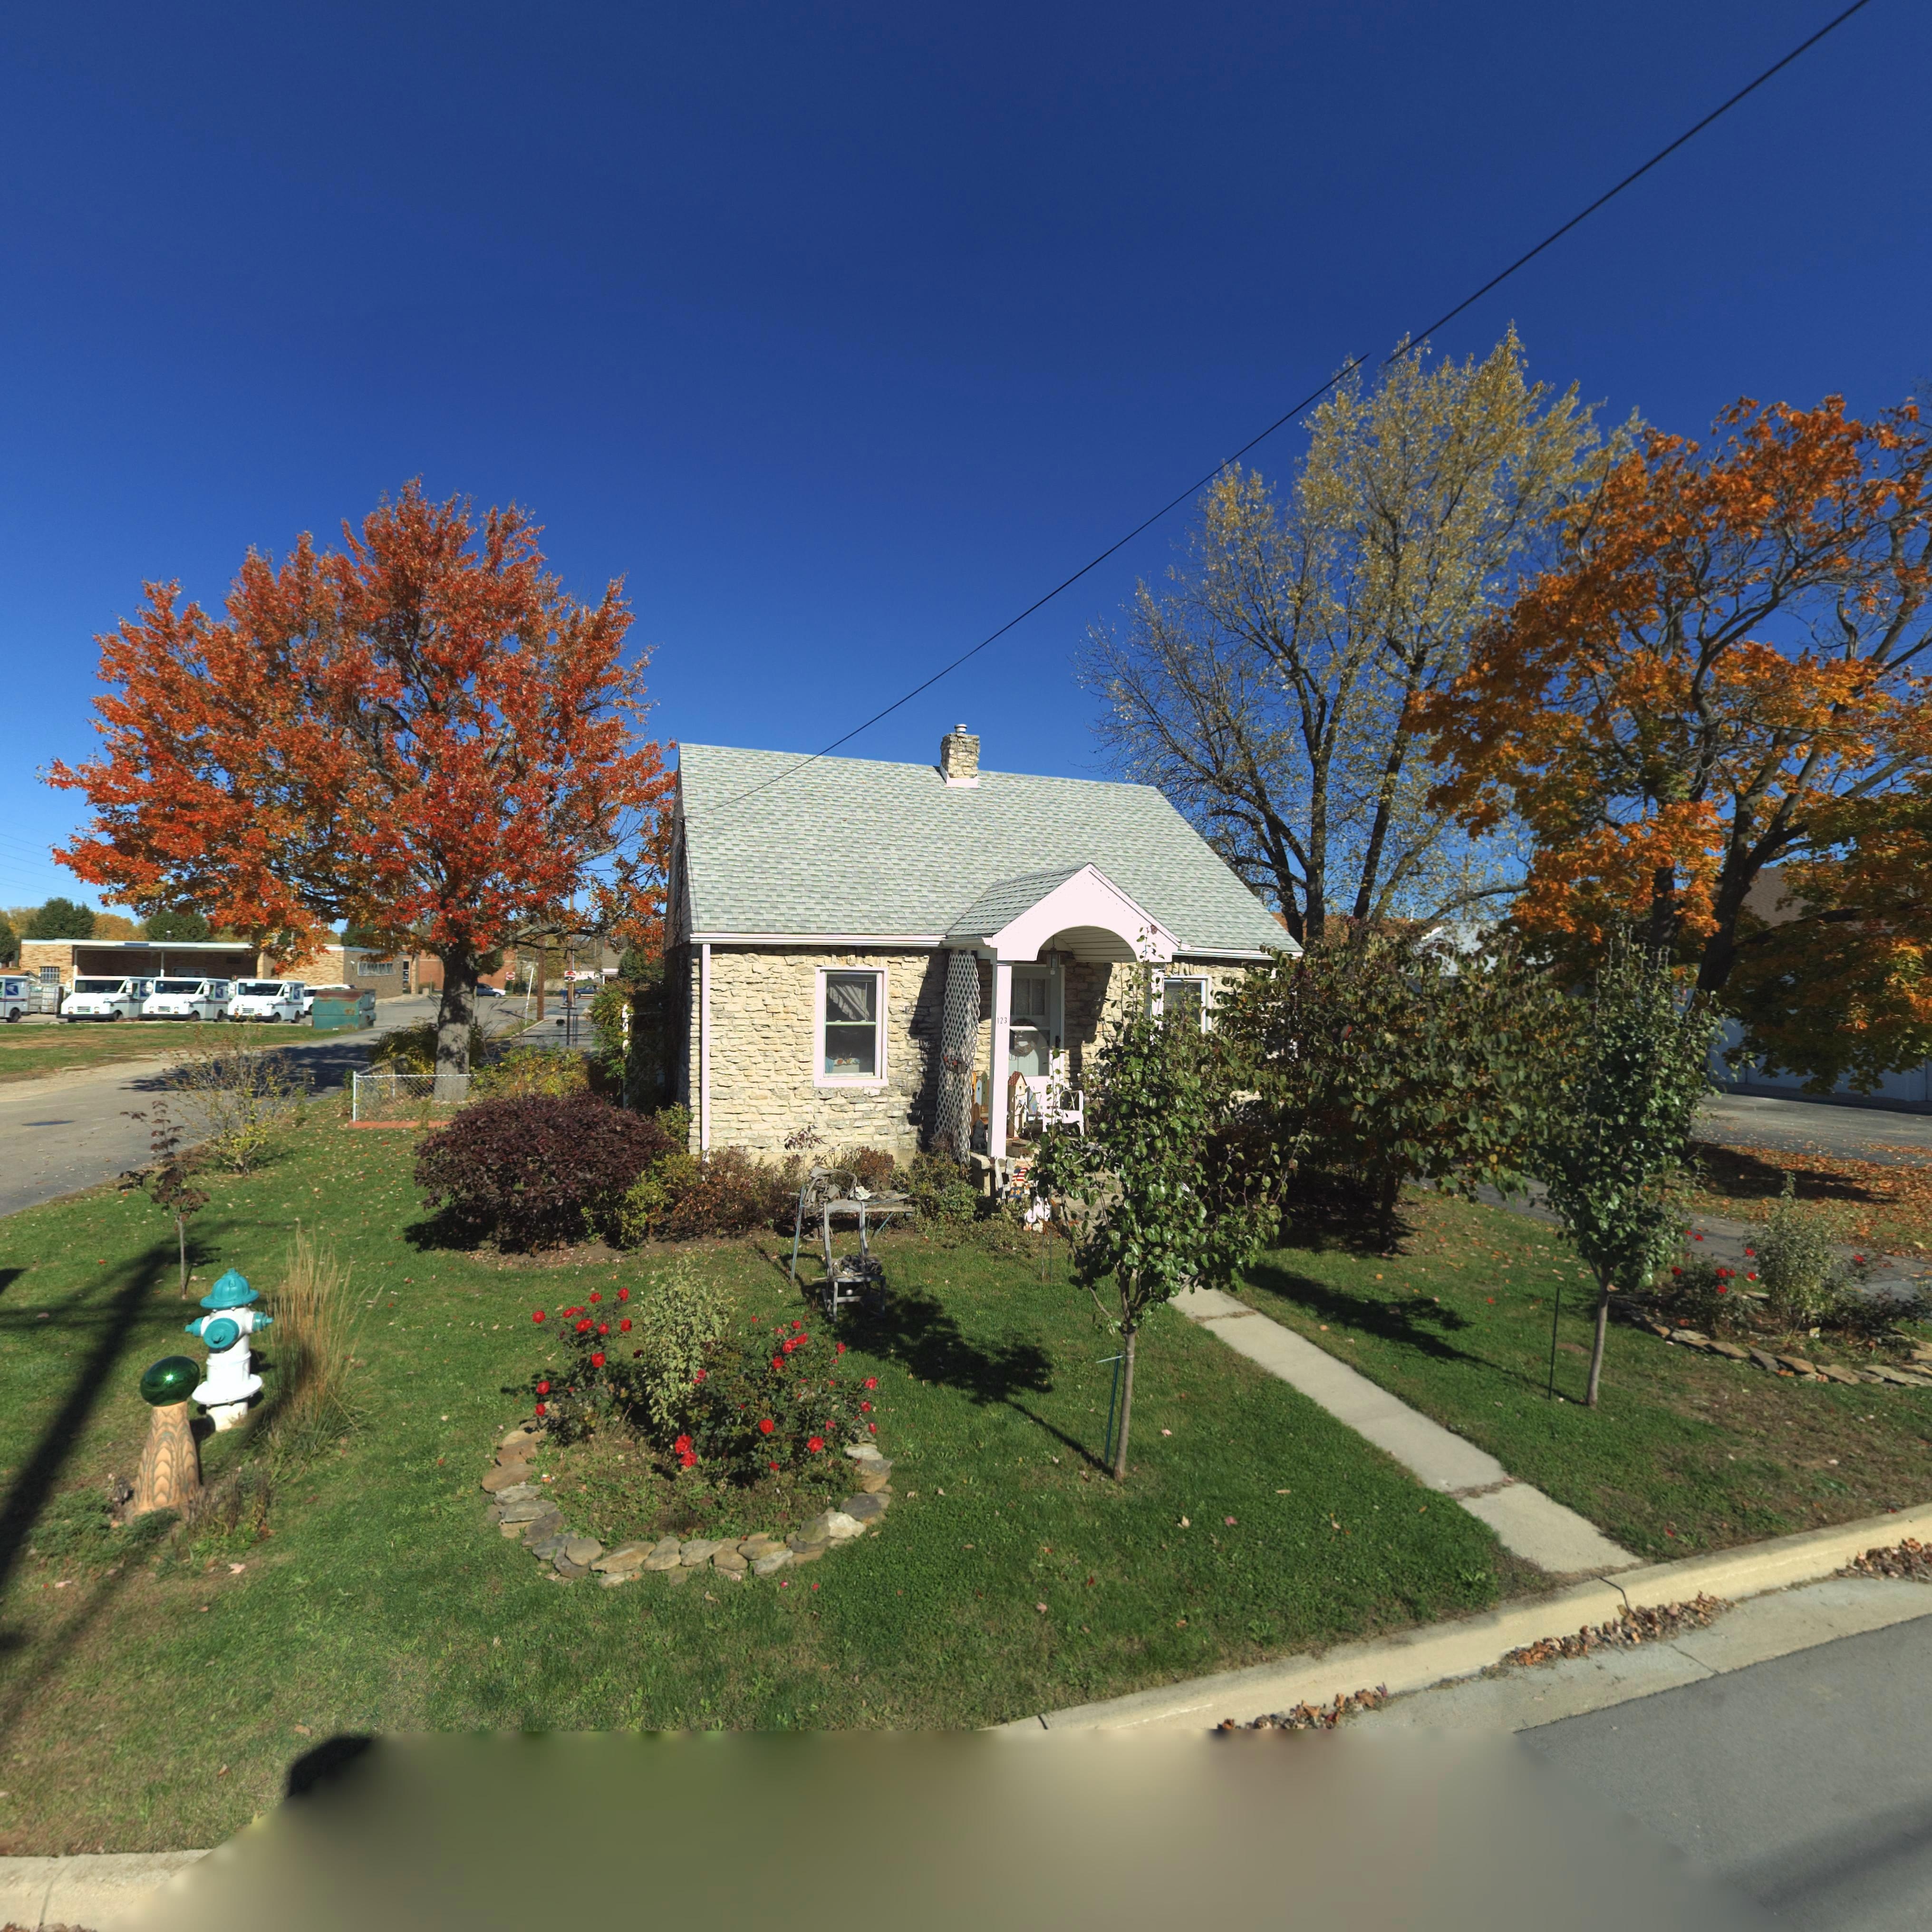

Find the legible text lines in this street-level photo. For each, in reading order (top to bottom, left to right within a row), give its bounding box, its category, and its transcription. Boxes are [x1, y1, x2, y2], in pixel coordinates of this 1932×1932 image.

[996, 1016, 1007, 1024] StreetNumber: 123